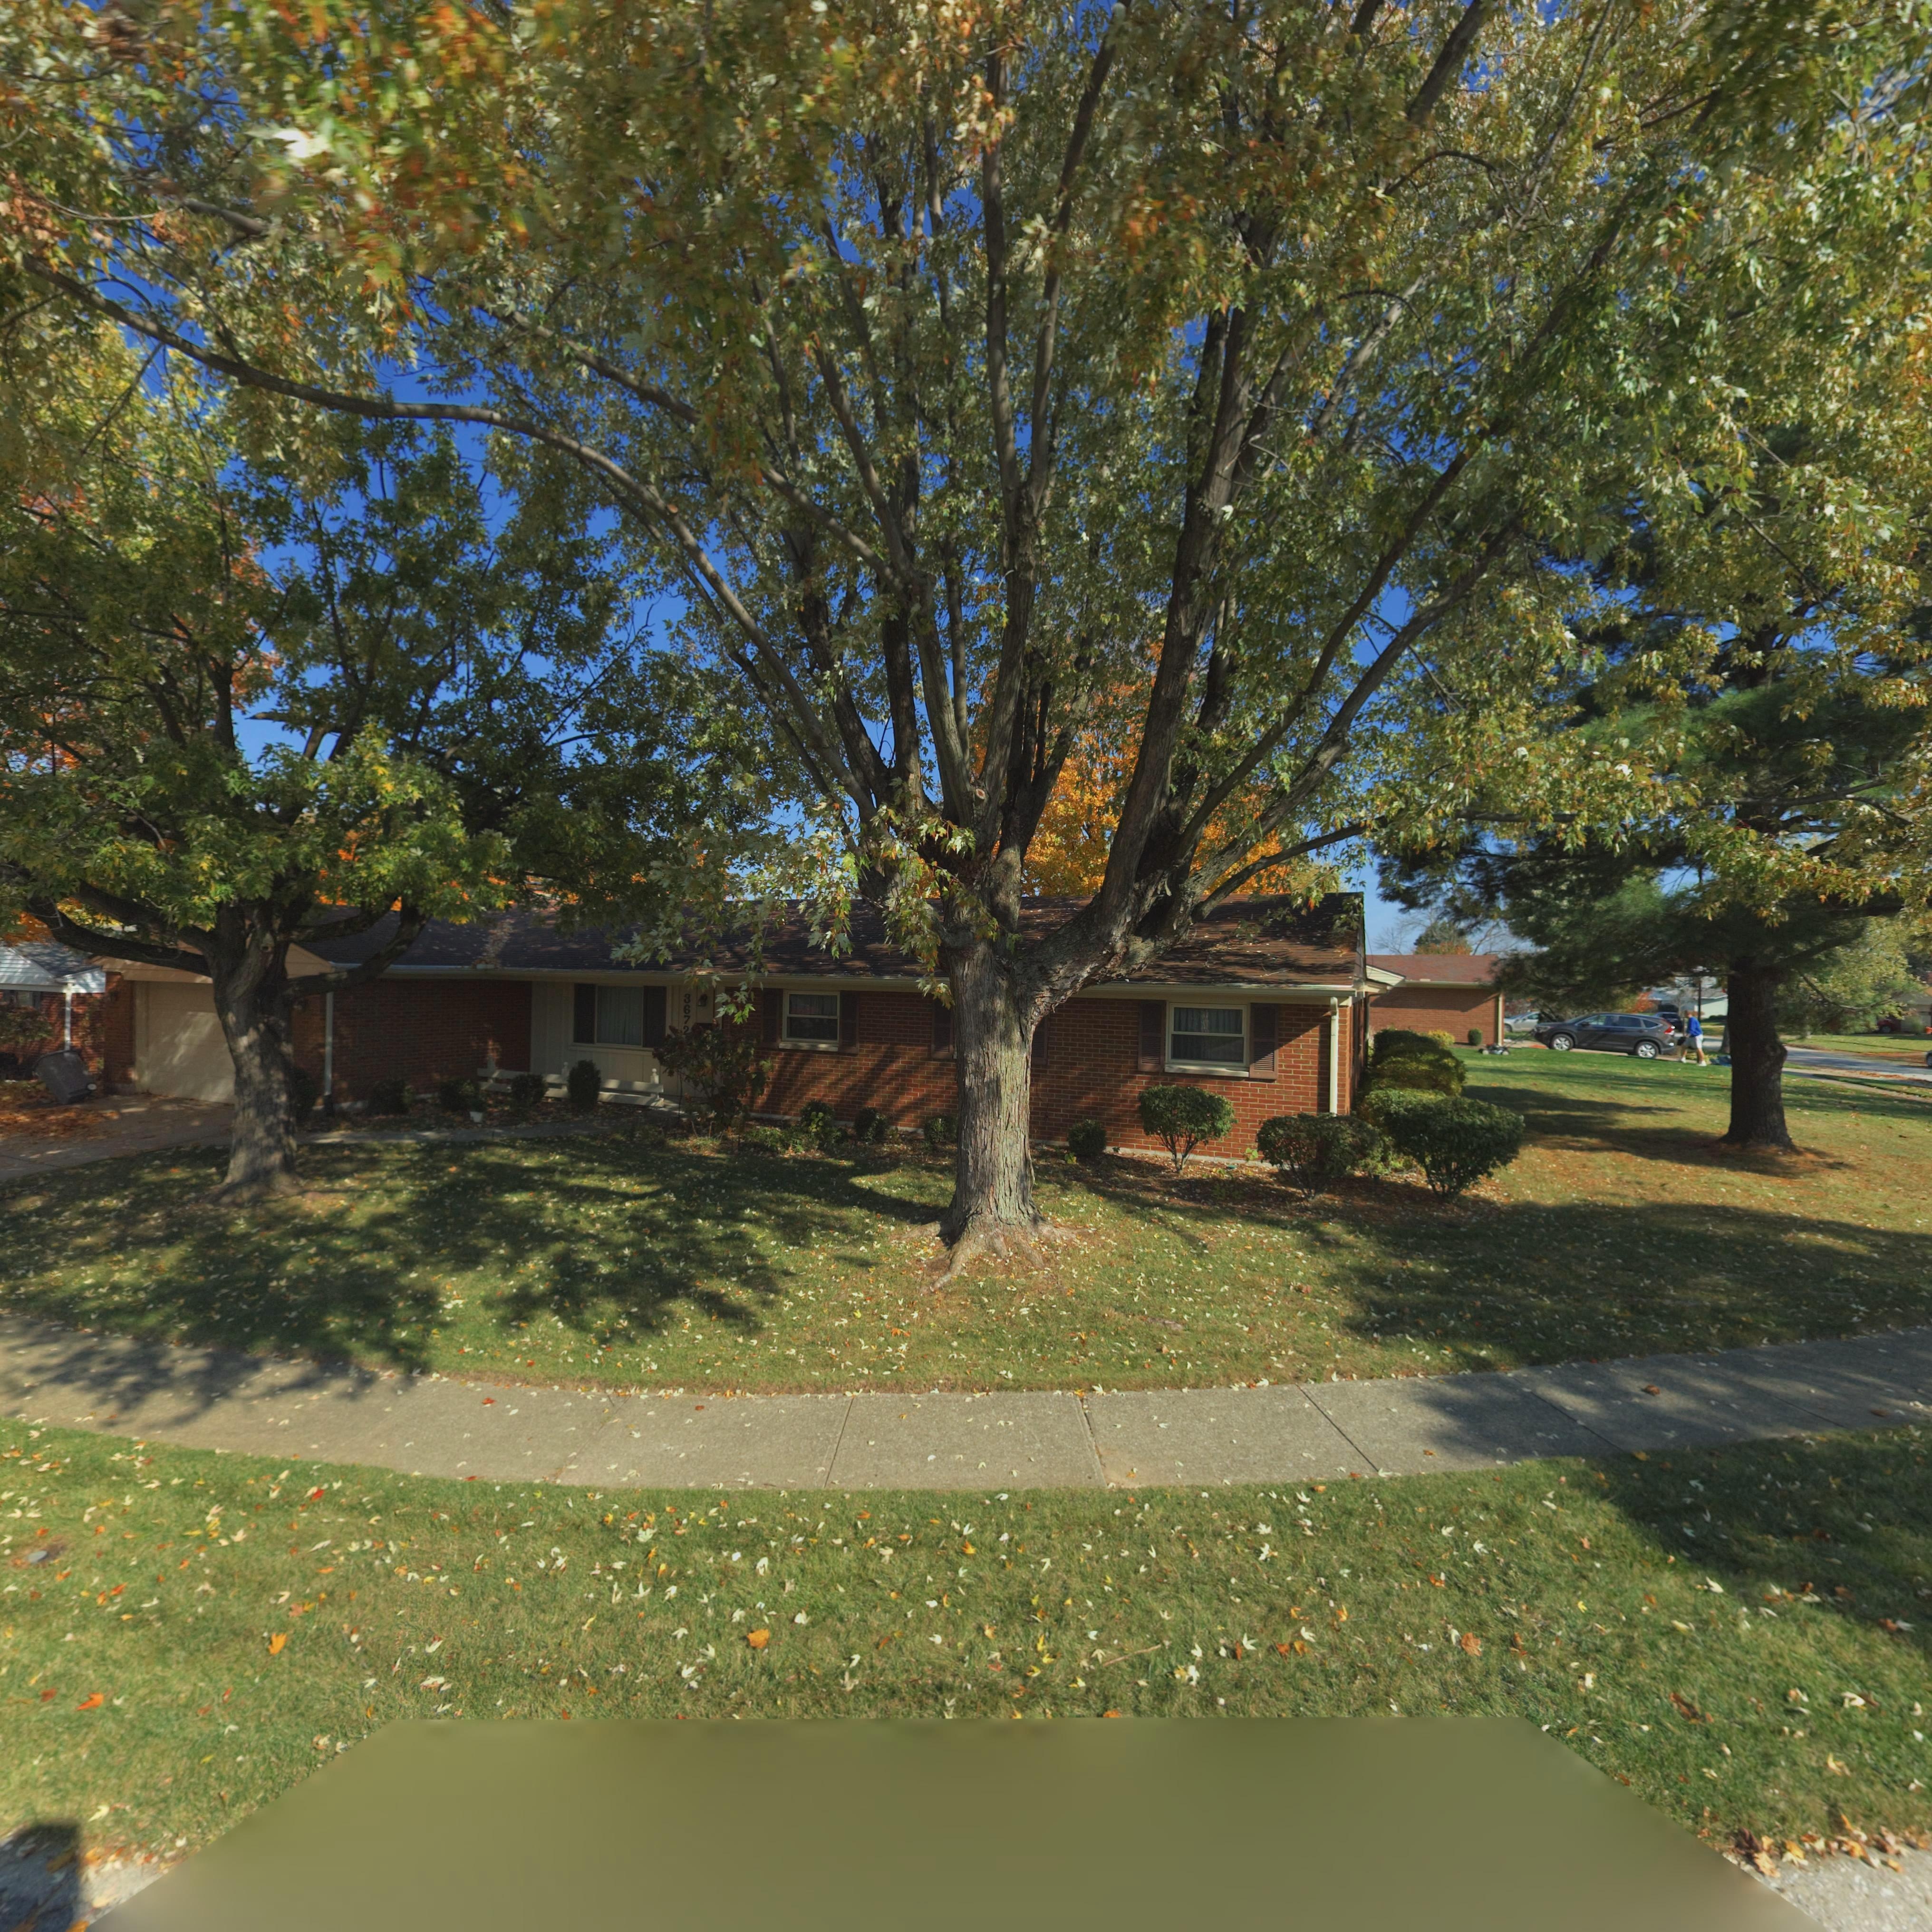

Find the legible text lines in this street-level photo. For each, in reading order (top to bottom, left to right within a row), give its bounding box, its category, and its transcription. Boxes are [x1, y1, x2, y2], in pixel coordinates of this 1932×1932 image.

[682, 993, 691, 1036] StreetNumber: 3672